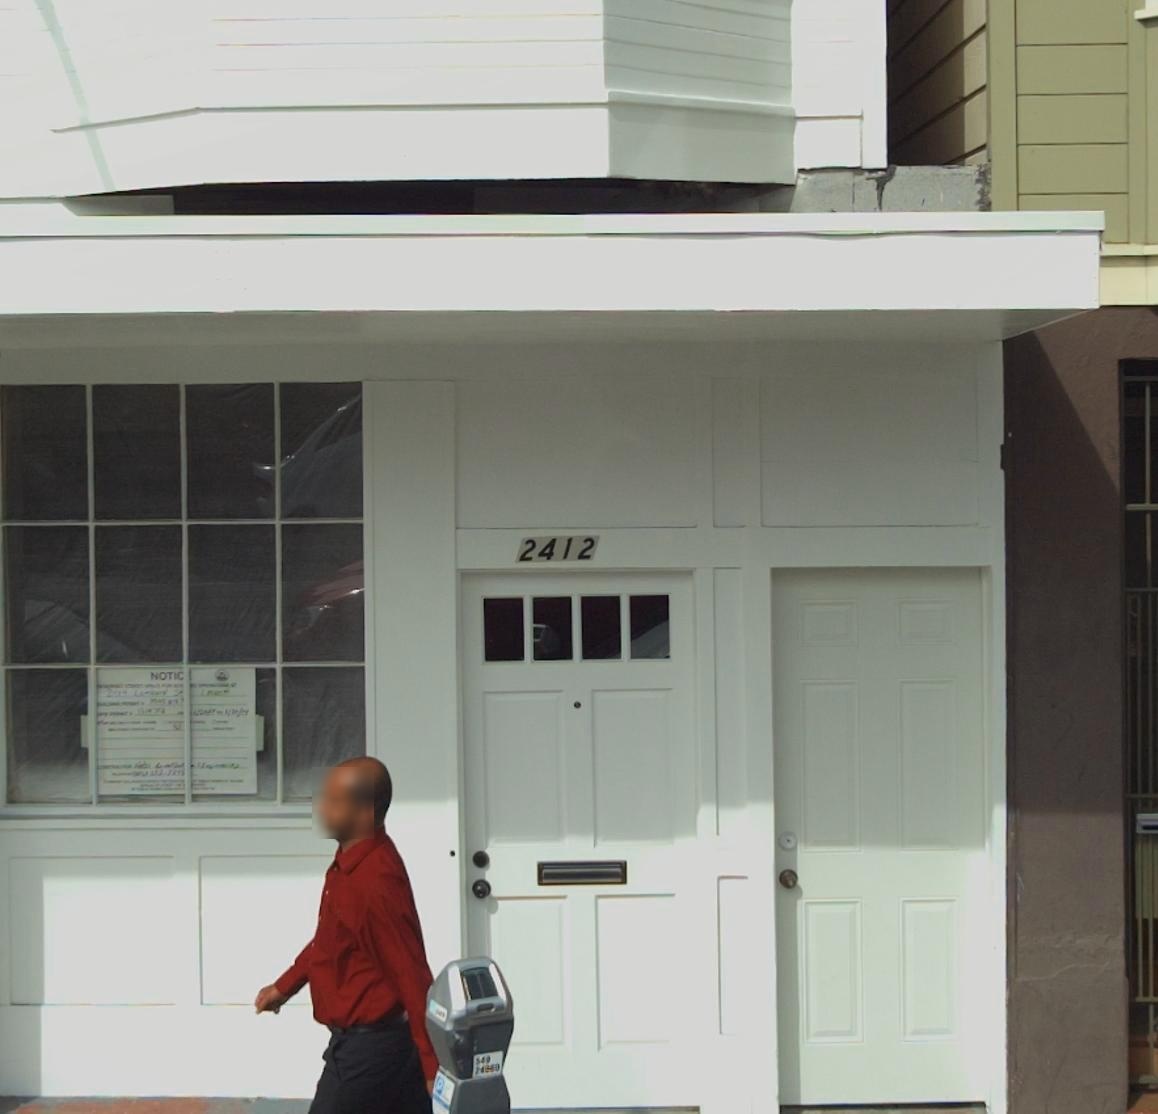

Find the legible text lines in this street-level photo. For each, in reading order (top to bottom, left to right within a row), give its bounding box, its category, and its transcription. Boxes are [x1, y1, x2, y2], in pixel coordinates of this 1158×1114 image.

[518, 536, 595, 562] StreetNumber: 2412
[150, 671, 184, 680] None: NOTIC